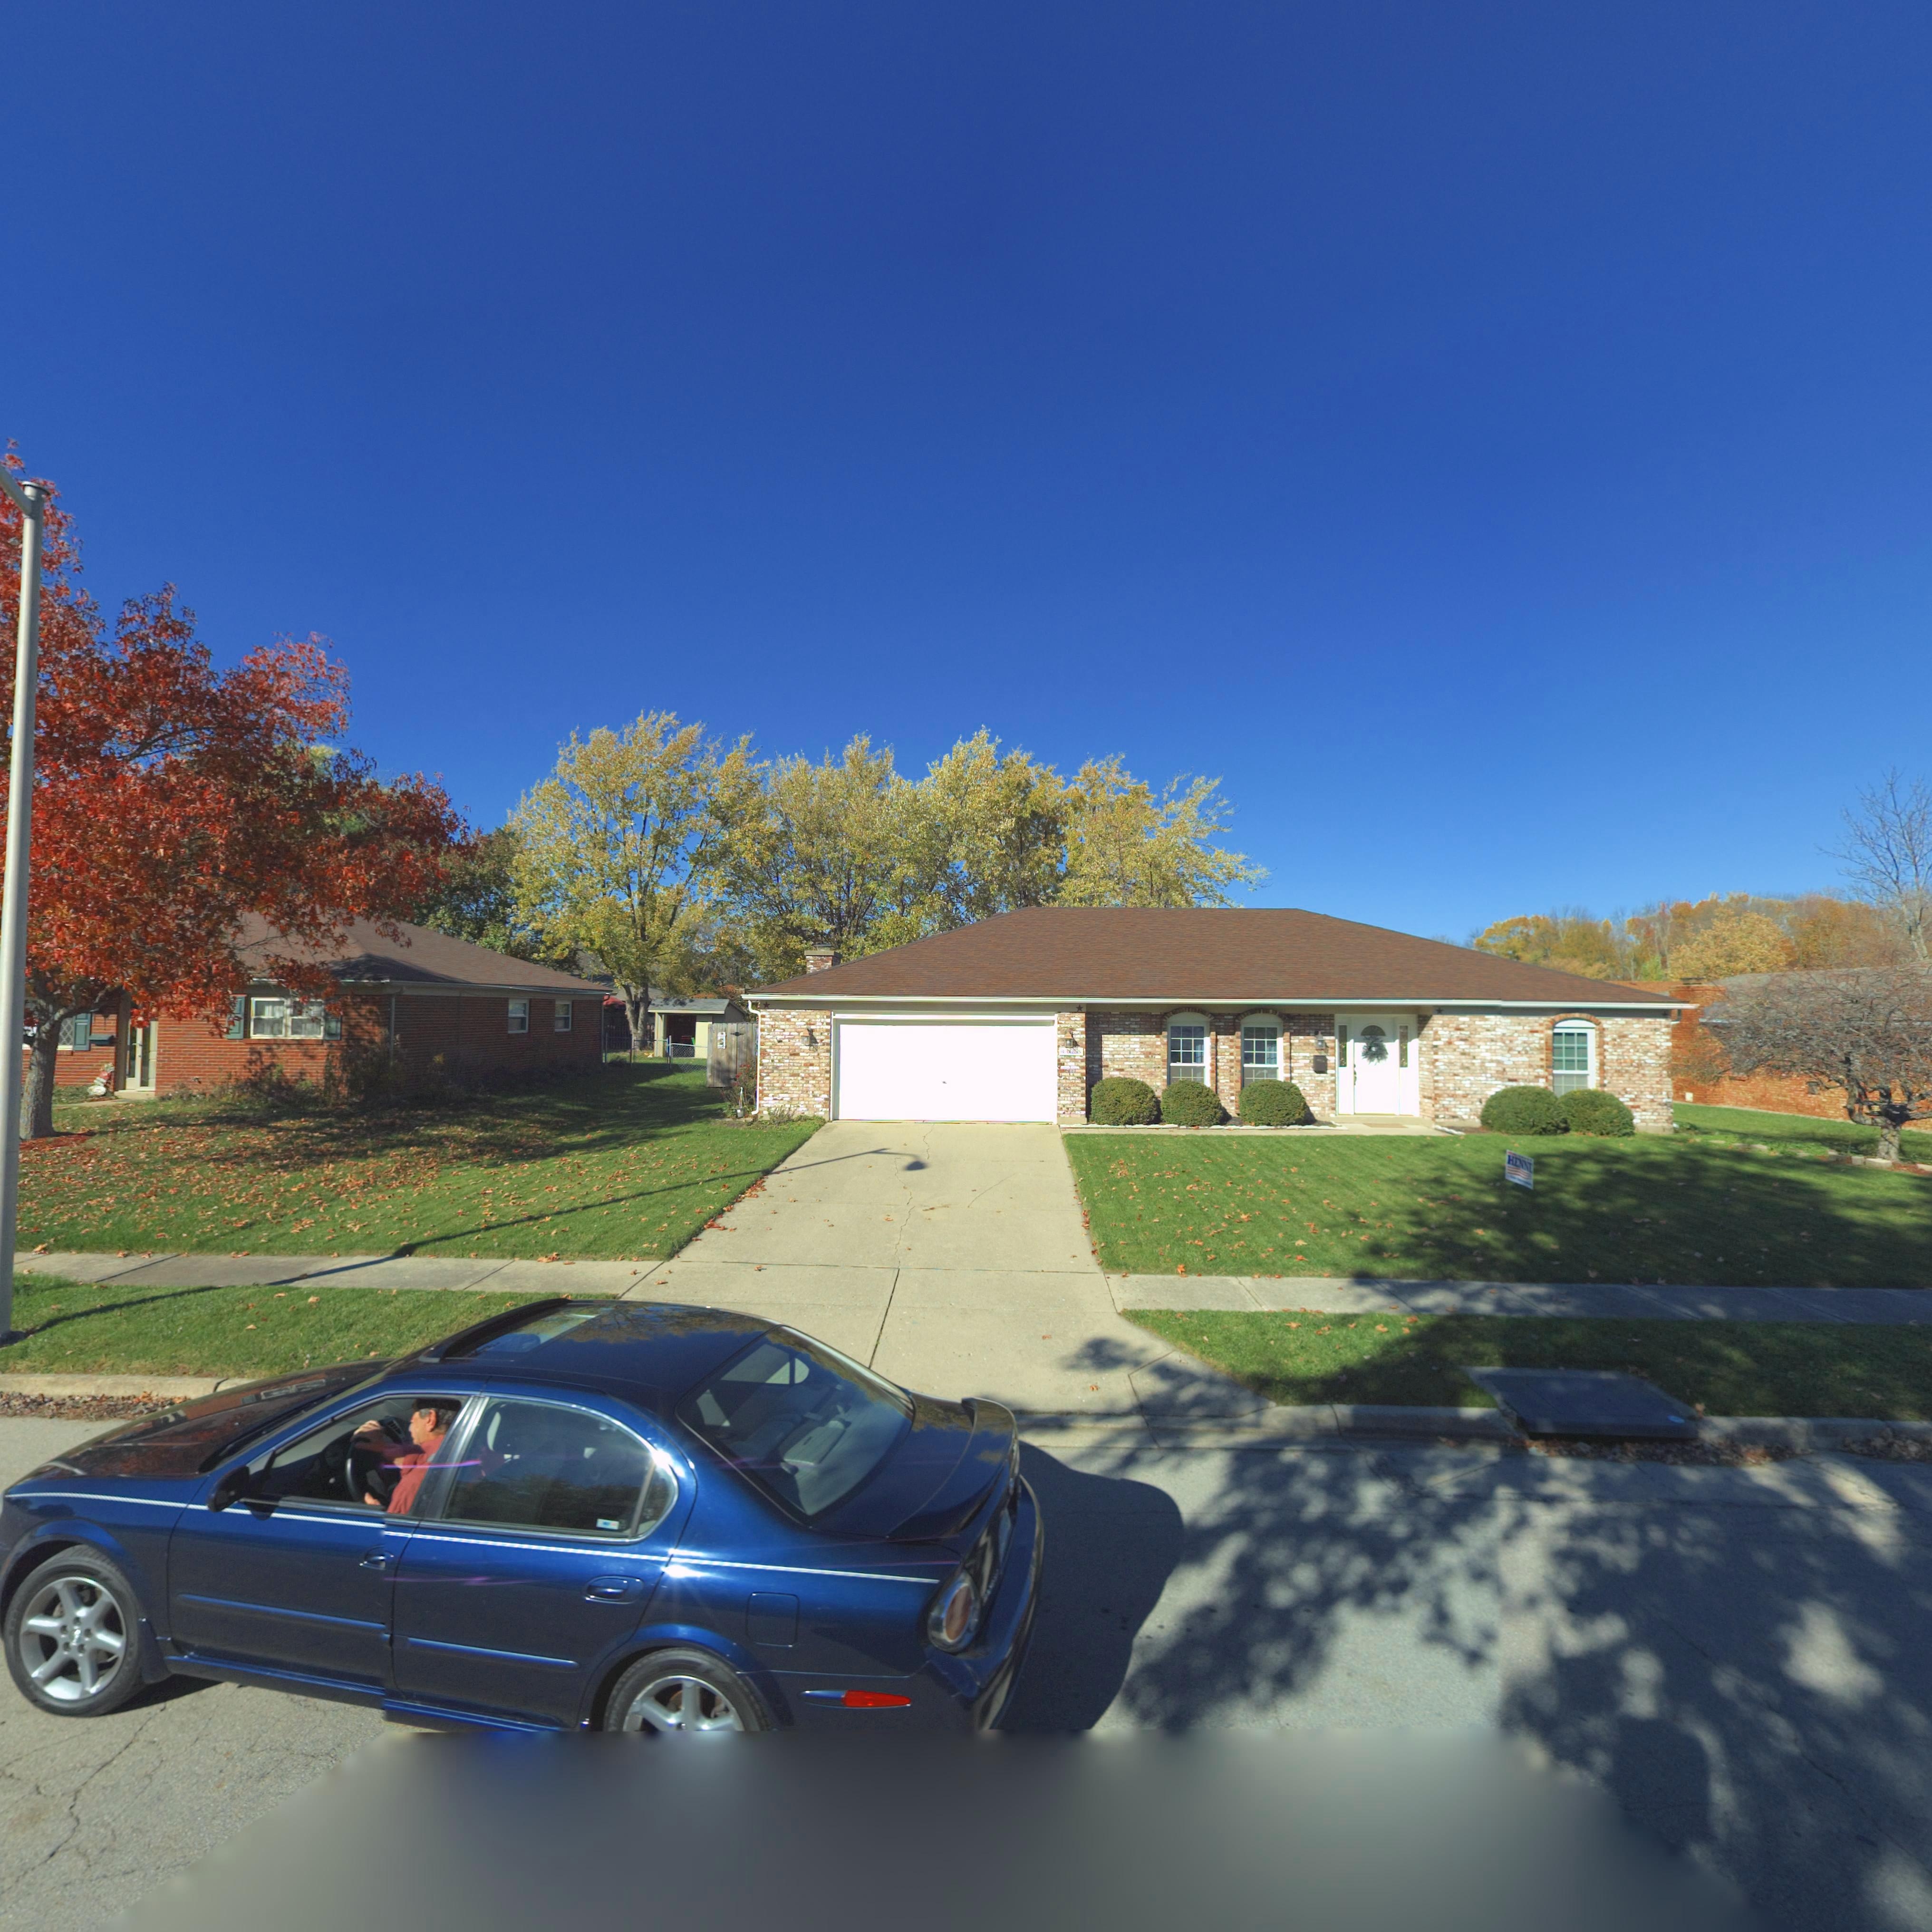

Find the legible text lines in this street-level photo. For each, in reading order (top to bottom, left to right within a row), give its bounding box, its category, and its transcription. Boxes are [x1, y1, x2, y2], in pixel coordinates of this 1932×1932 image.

[1060, 1049, 1082, 1054] StreetNumber: 4015